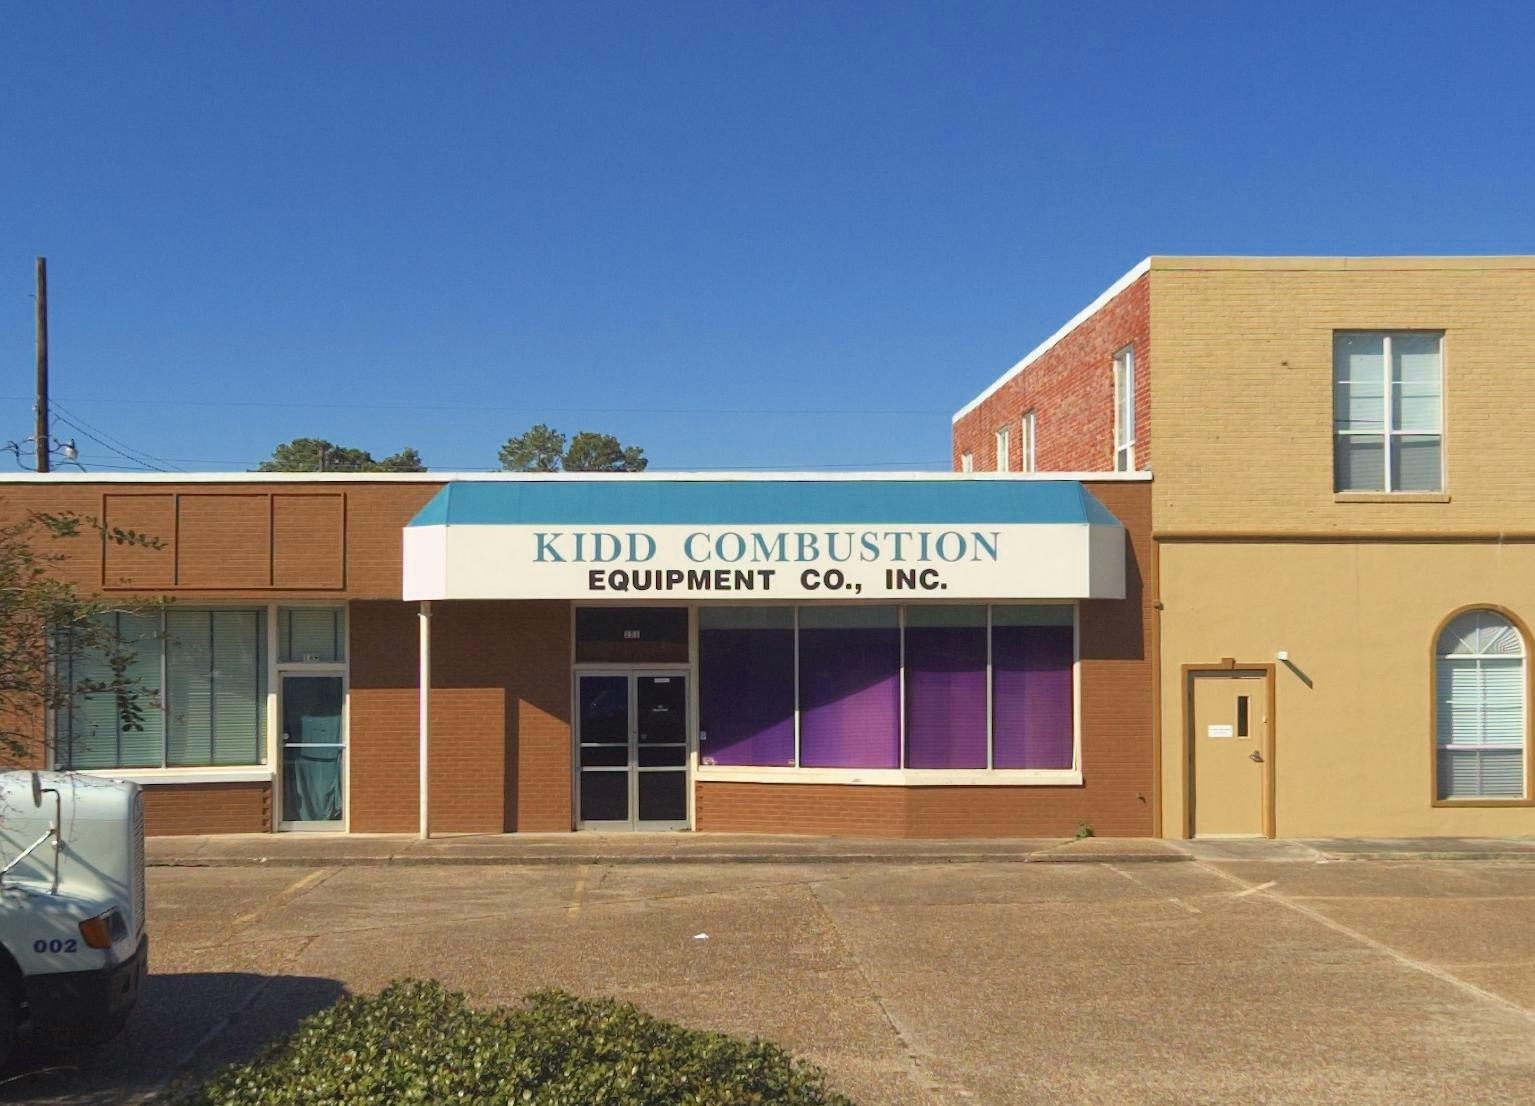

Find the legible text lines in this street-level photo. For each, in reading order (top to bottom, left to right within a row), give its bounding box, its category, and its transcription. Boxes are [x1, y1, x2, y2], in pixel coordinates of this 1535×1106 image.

[532, 531, 1003, 563] BusinessName: KIDD COMBUSTION
[588, 568, 948, 594] BusinessName: EQUIPMENT CO., INC.
[32, 938, 79, 954] None: 002